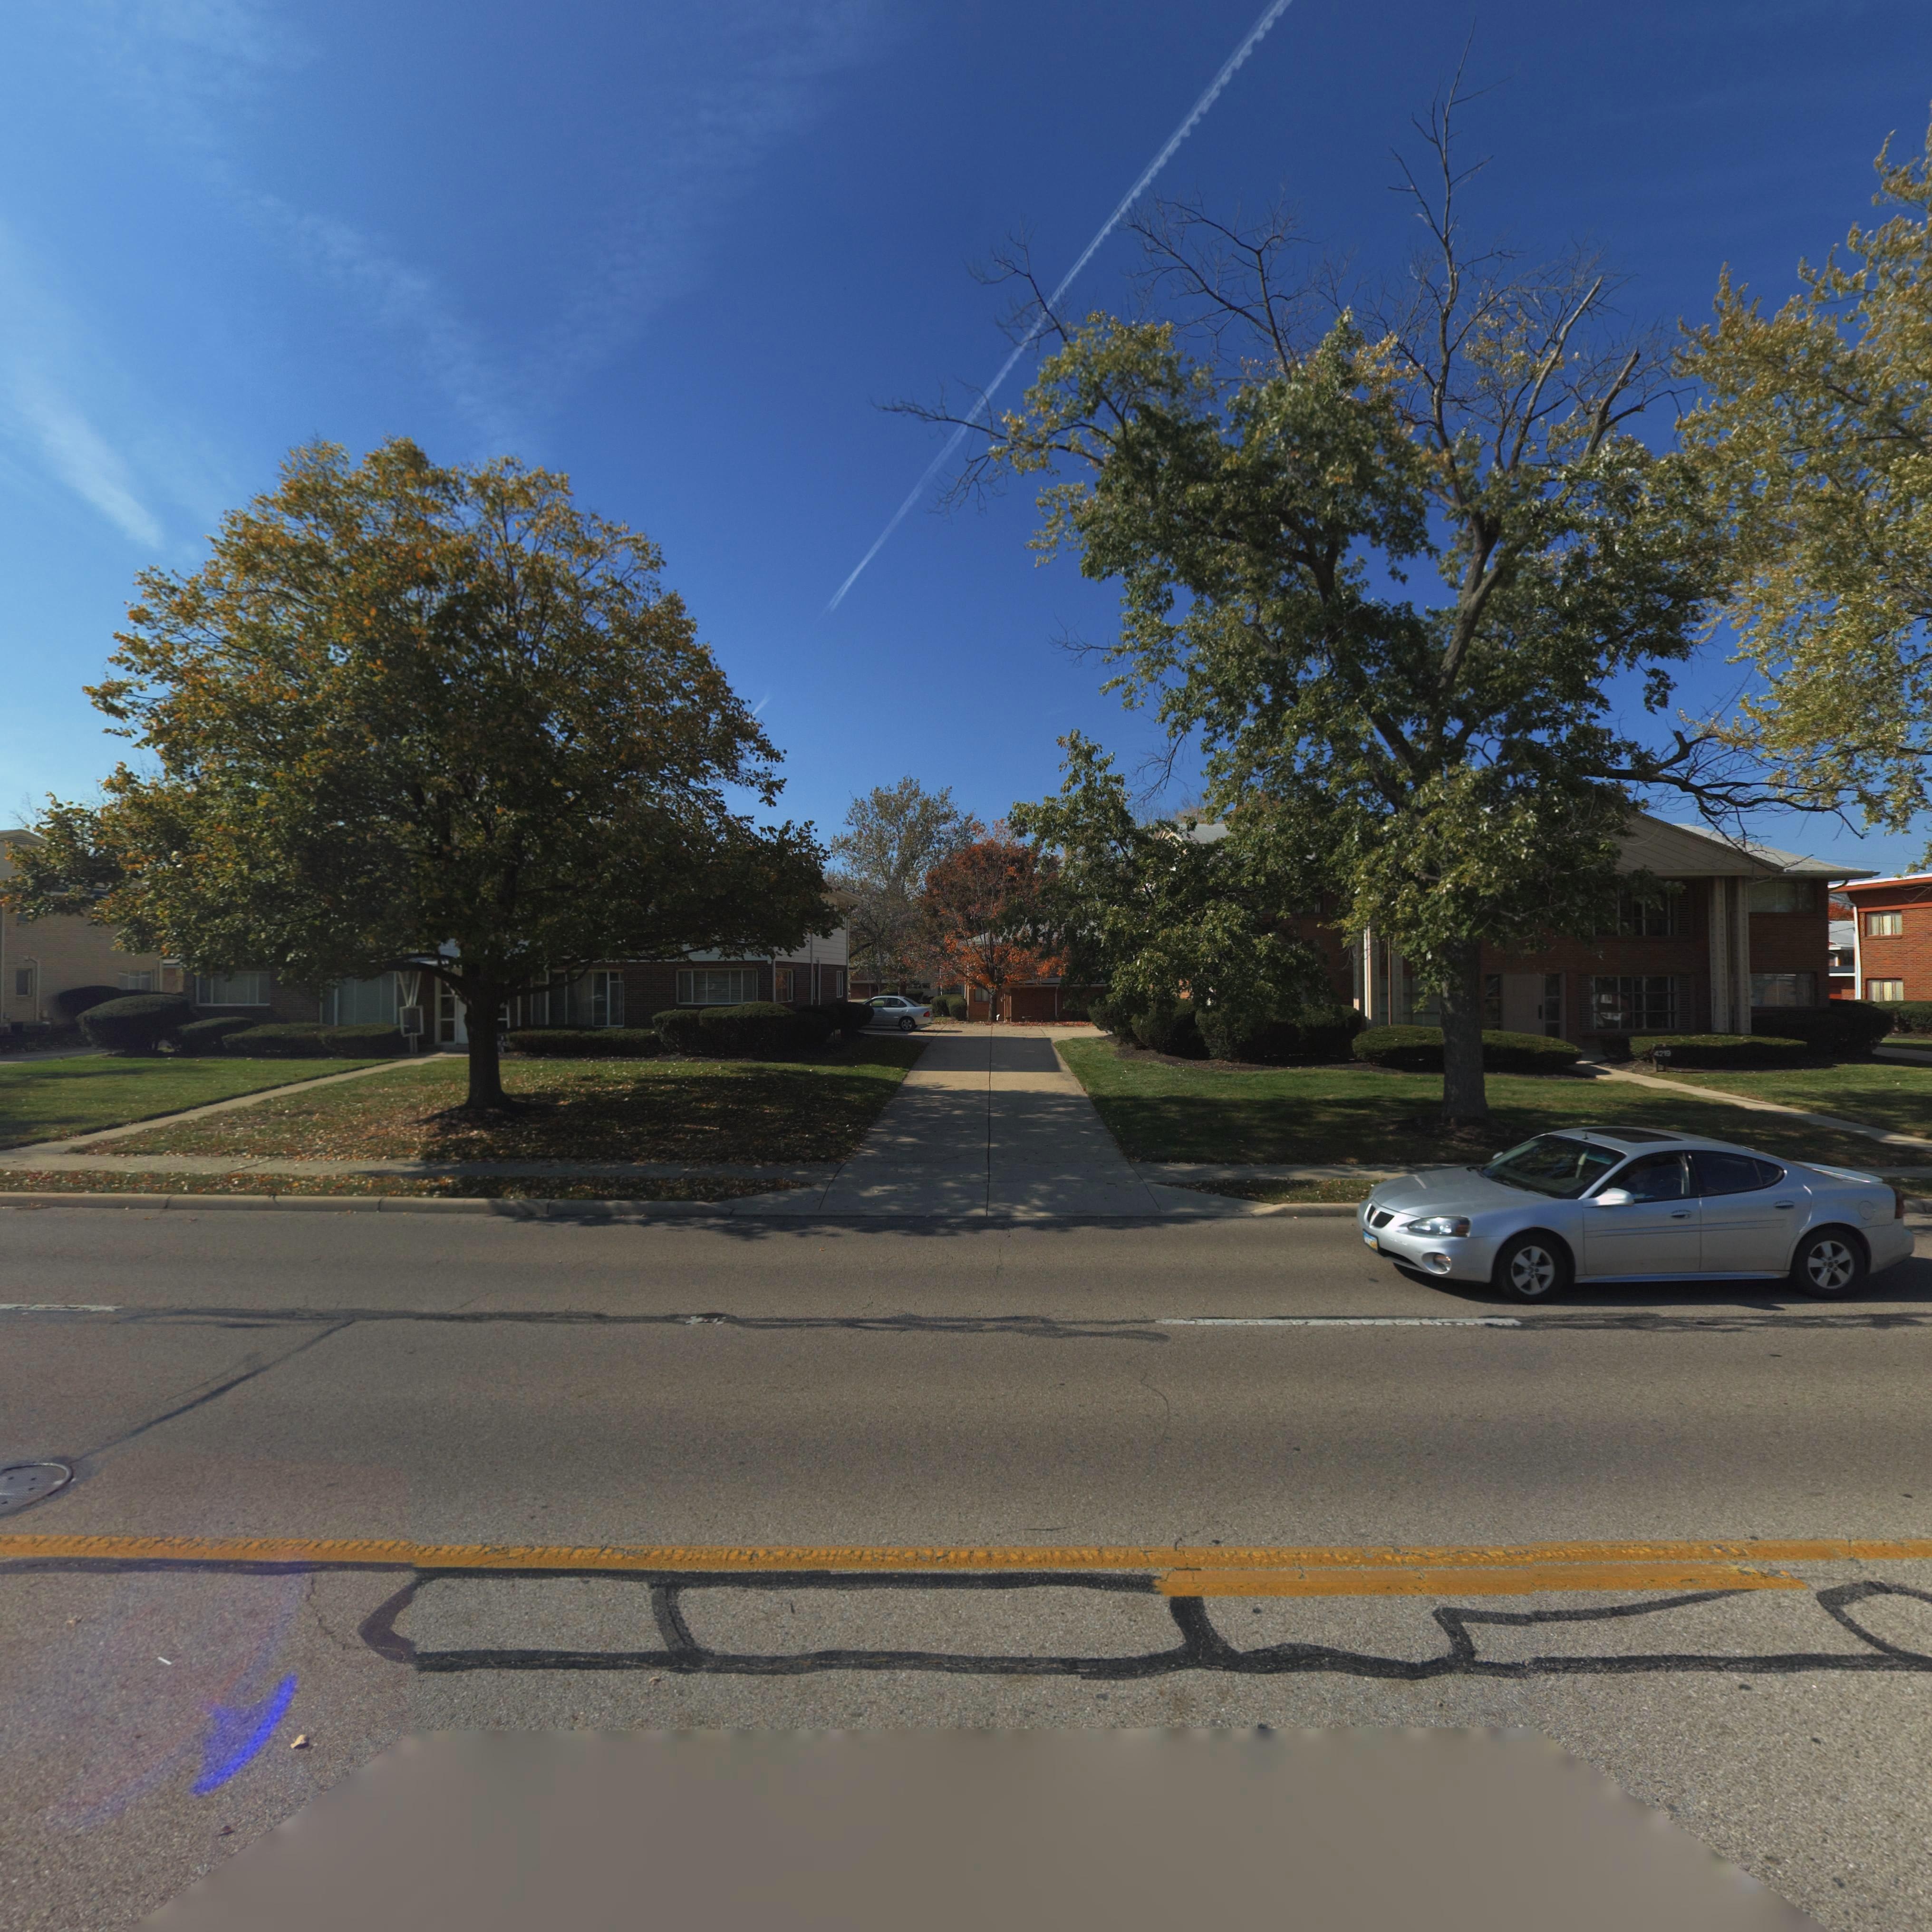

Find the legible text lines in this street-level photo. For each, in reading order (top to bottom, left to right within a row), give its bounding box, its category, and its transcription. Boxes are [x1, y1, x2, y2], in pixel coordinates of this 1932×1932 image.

[501, 1041, 510, 1048] StreetNumber: 42
[1653, 1050, 1671, 1057] StreetNumber: 4219